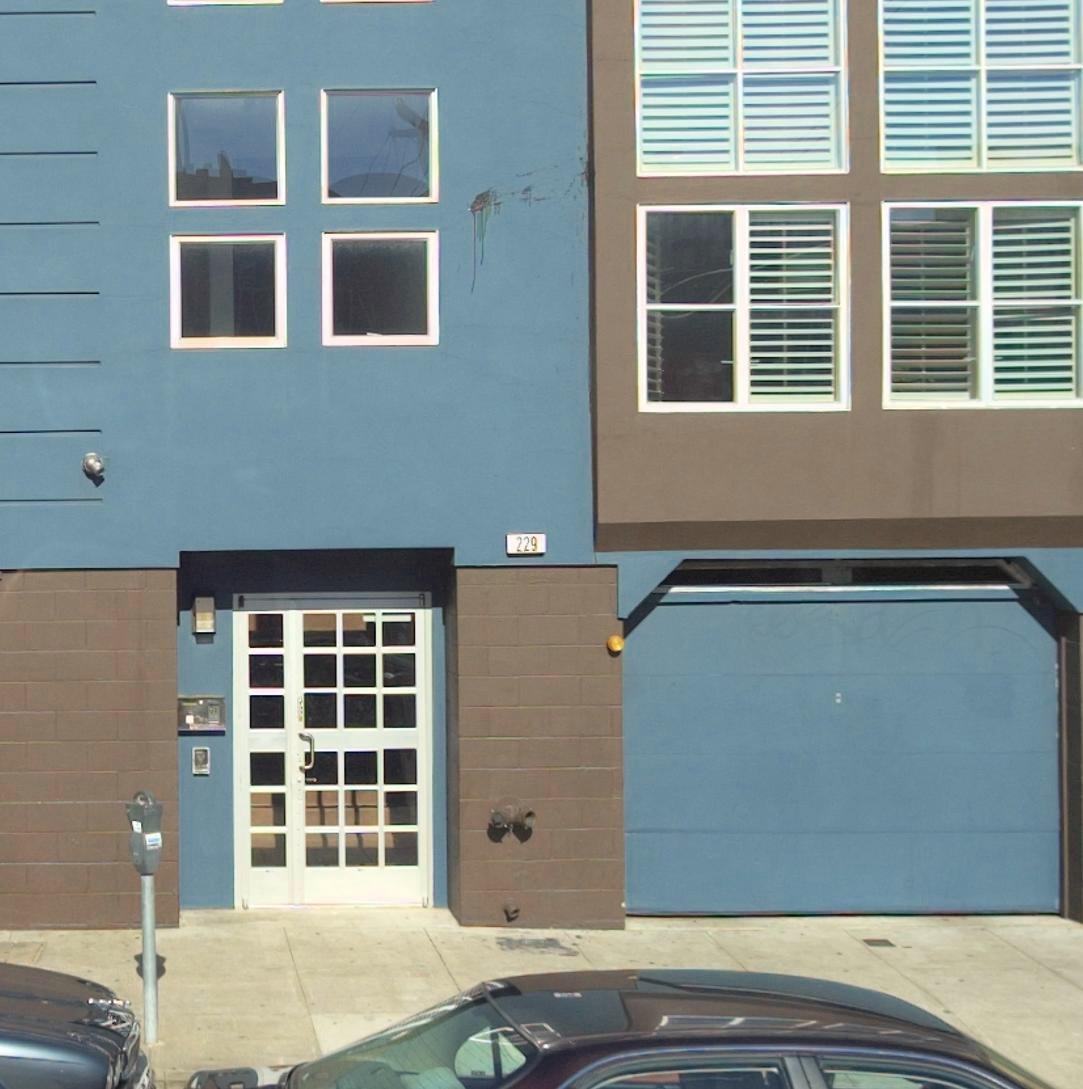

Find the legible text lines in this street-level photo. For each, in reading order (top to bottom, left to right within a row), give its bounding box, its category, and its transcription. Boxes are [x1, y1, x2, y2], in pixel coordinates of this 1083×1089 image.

[515, 535, 539, 553] StreetNumber: 229